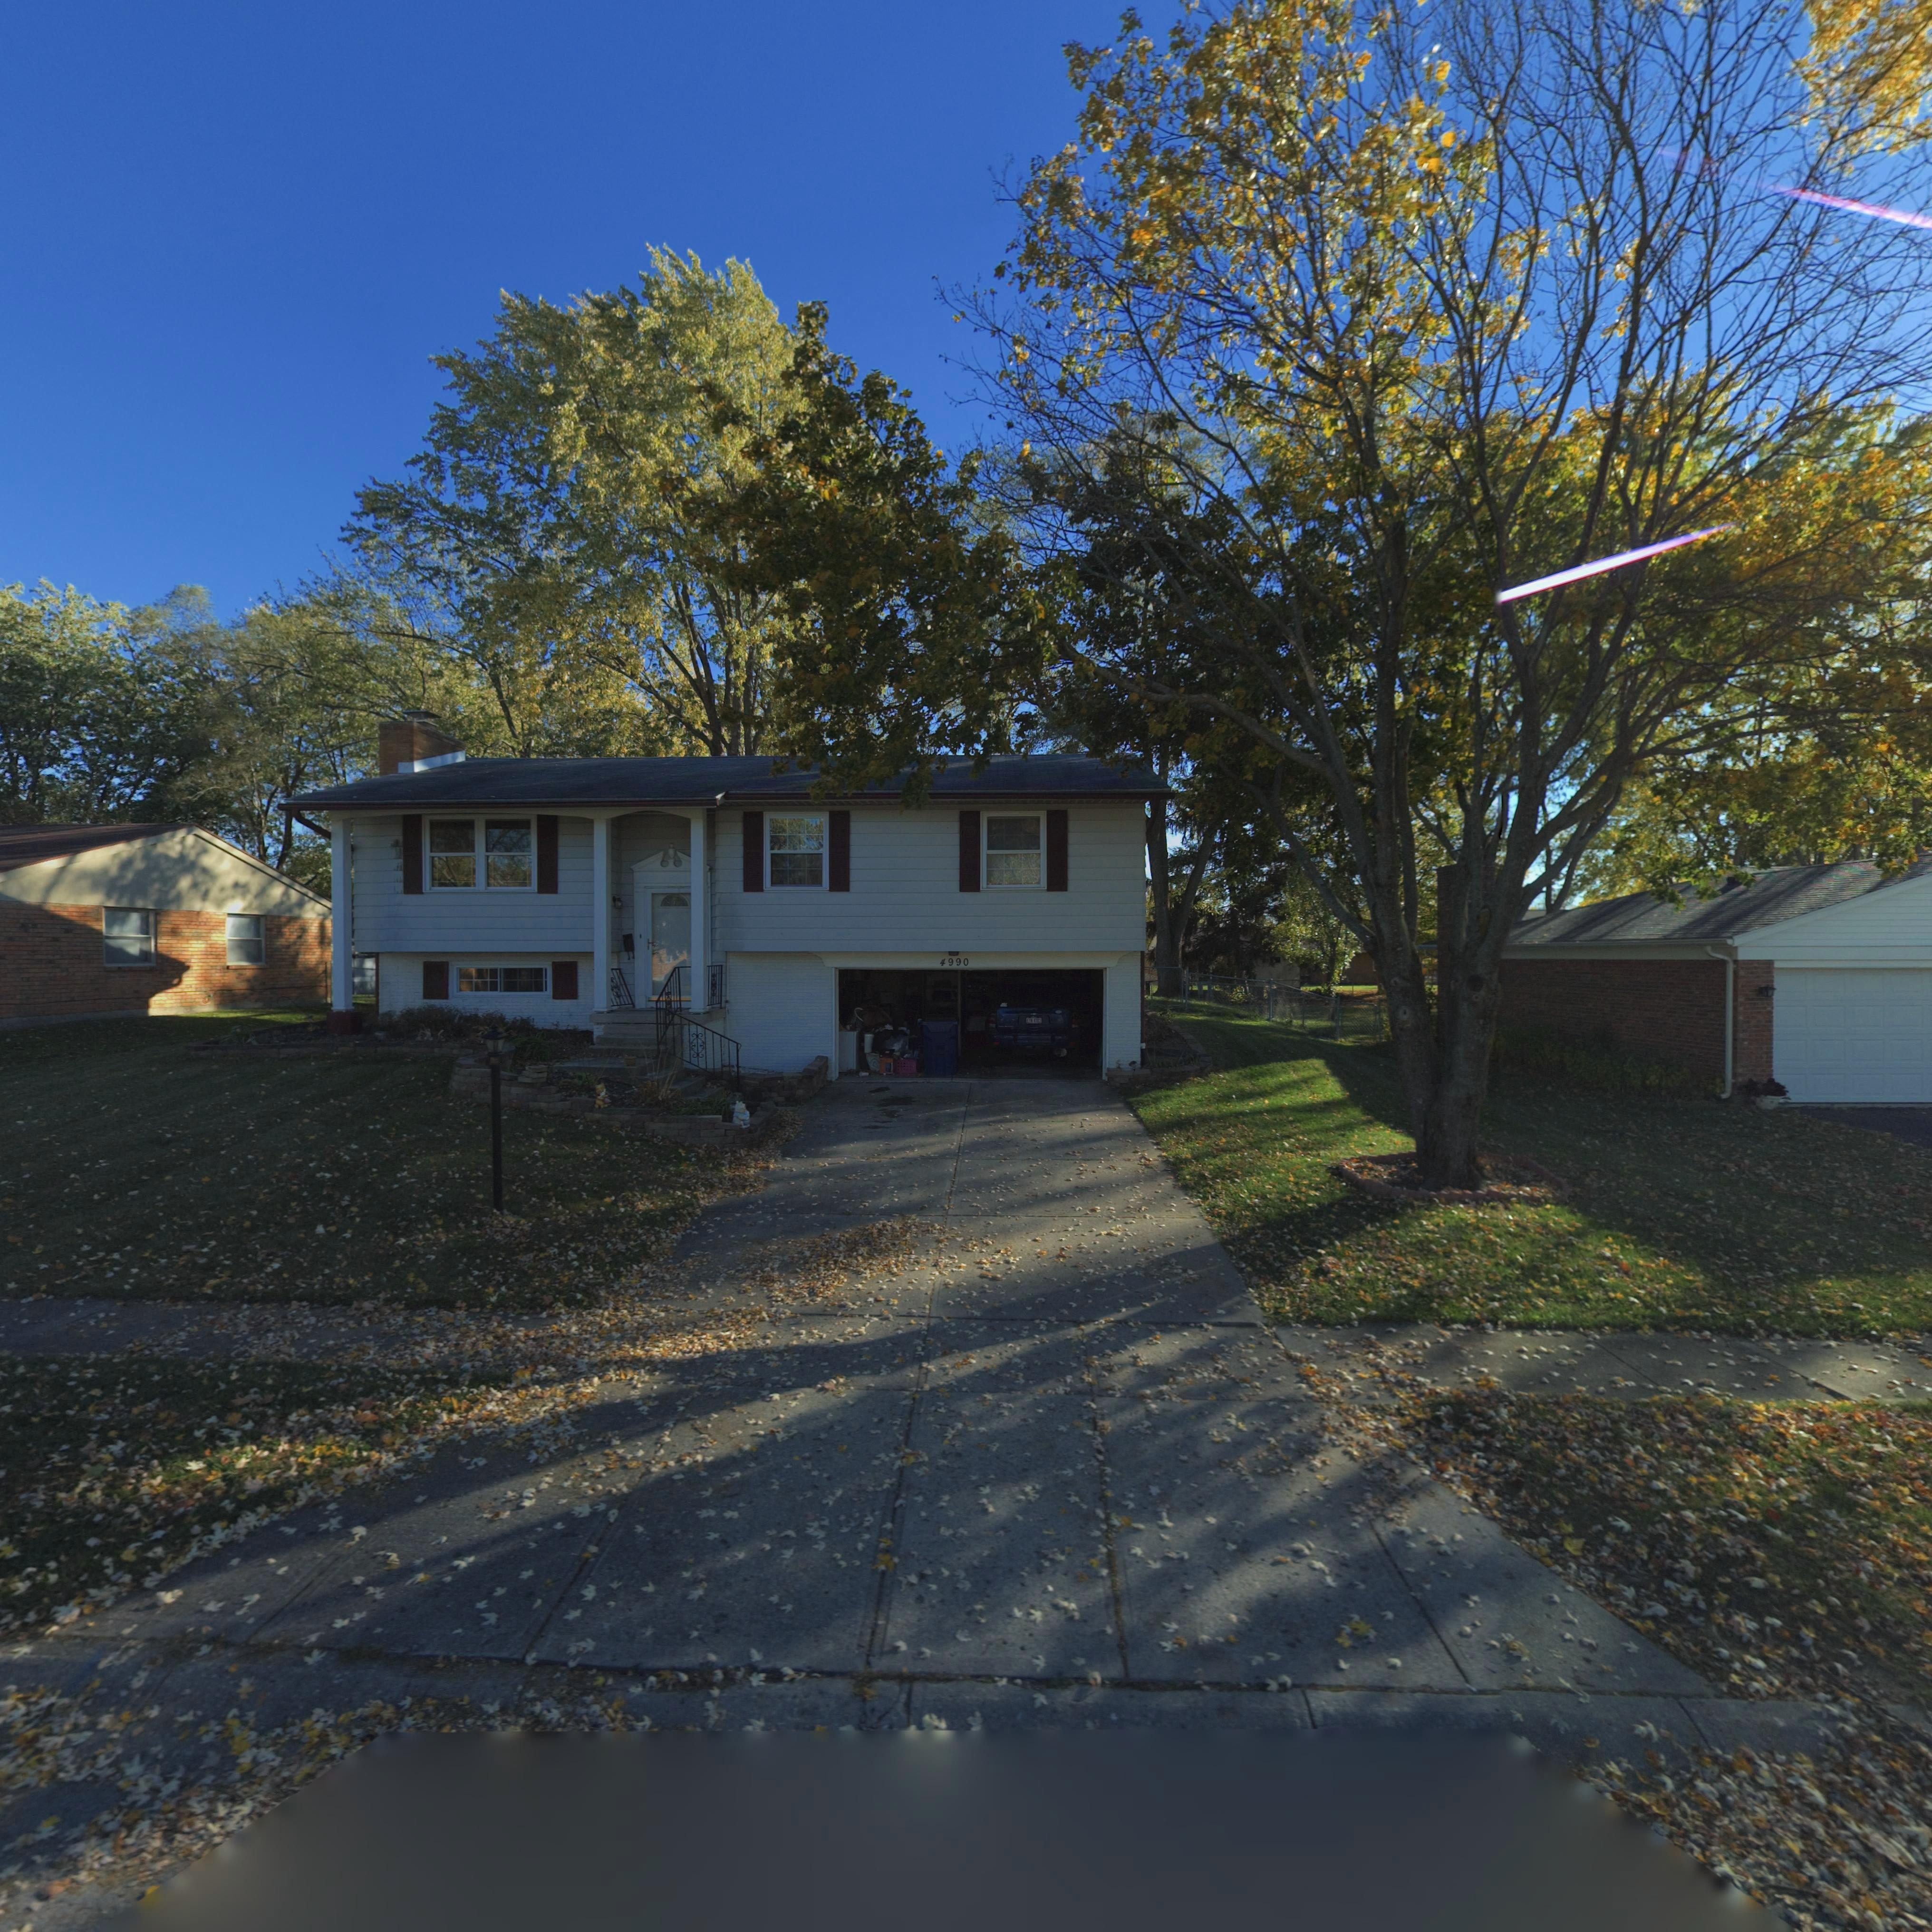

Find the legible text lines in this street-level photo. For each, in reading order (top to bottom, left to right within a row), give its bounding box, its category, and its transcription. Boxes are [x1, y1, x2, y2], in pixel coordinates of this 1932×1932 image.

[939, 957, 969, 966] StreetNumber: 4990